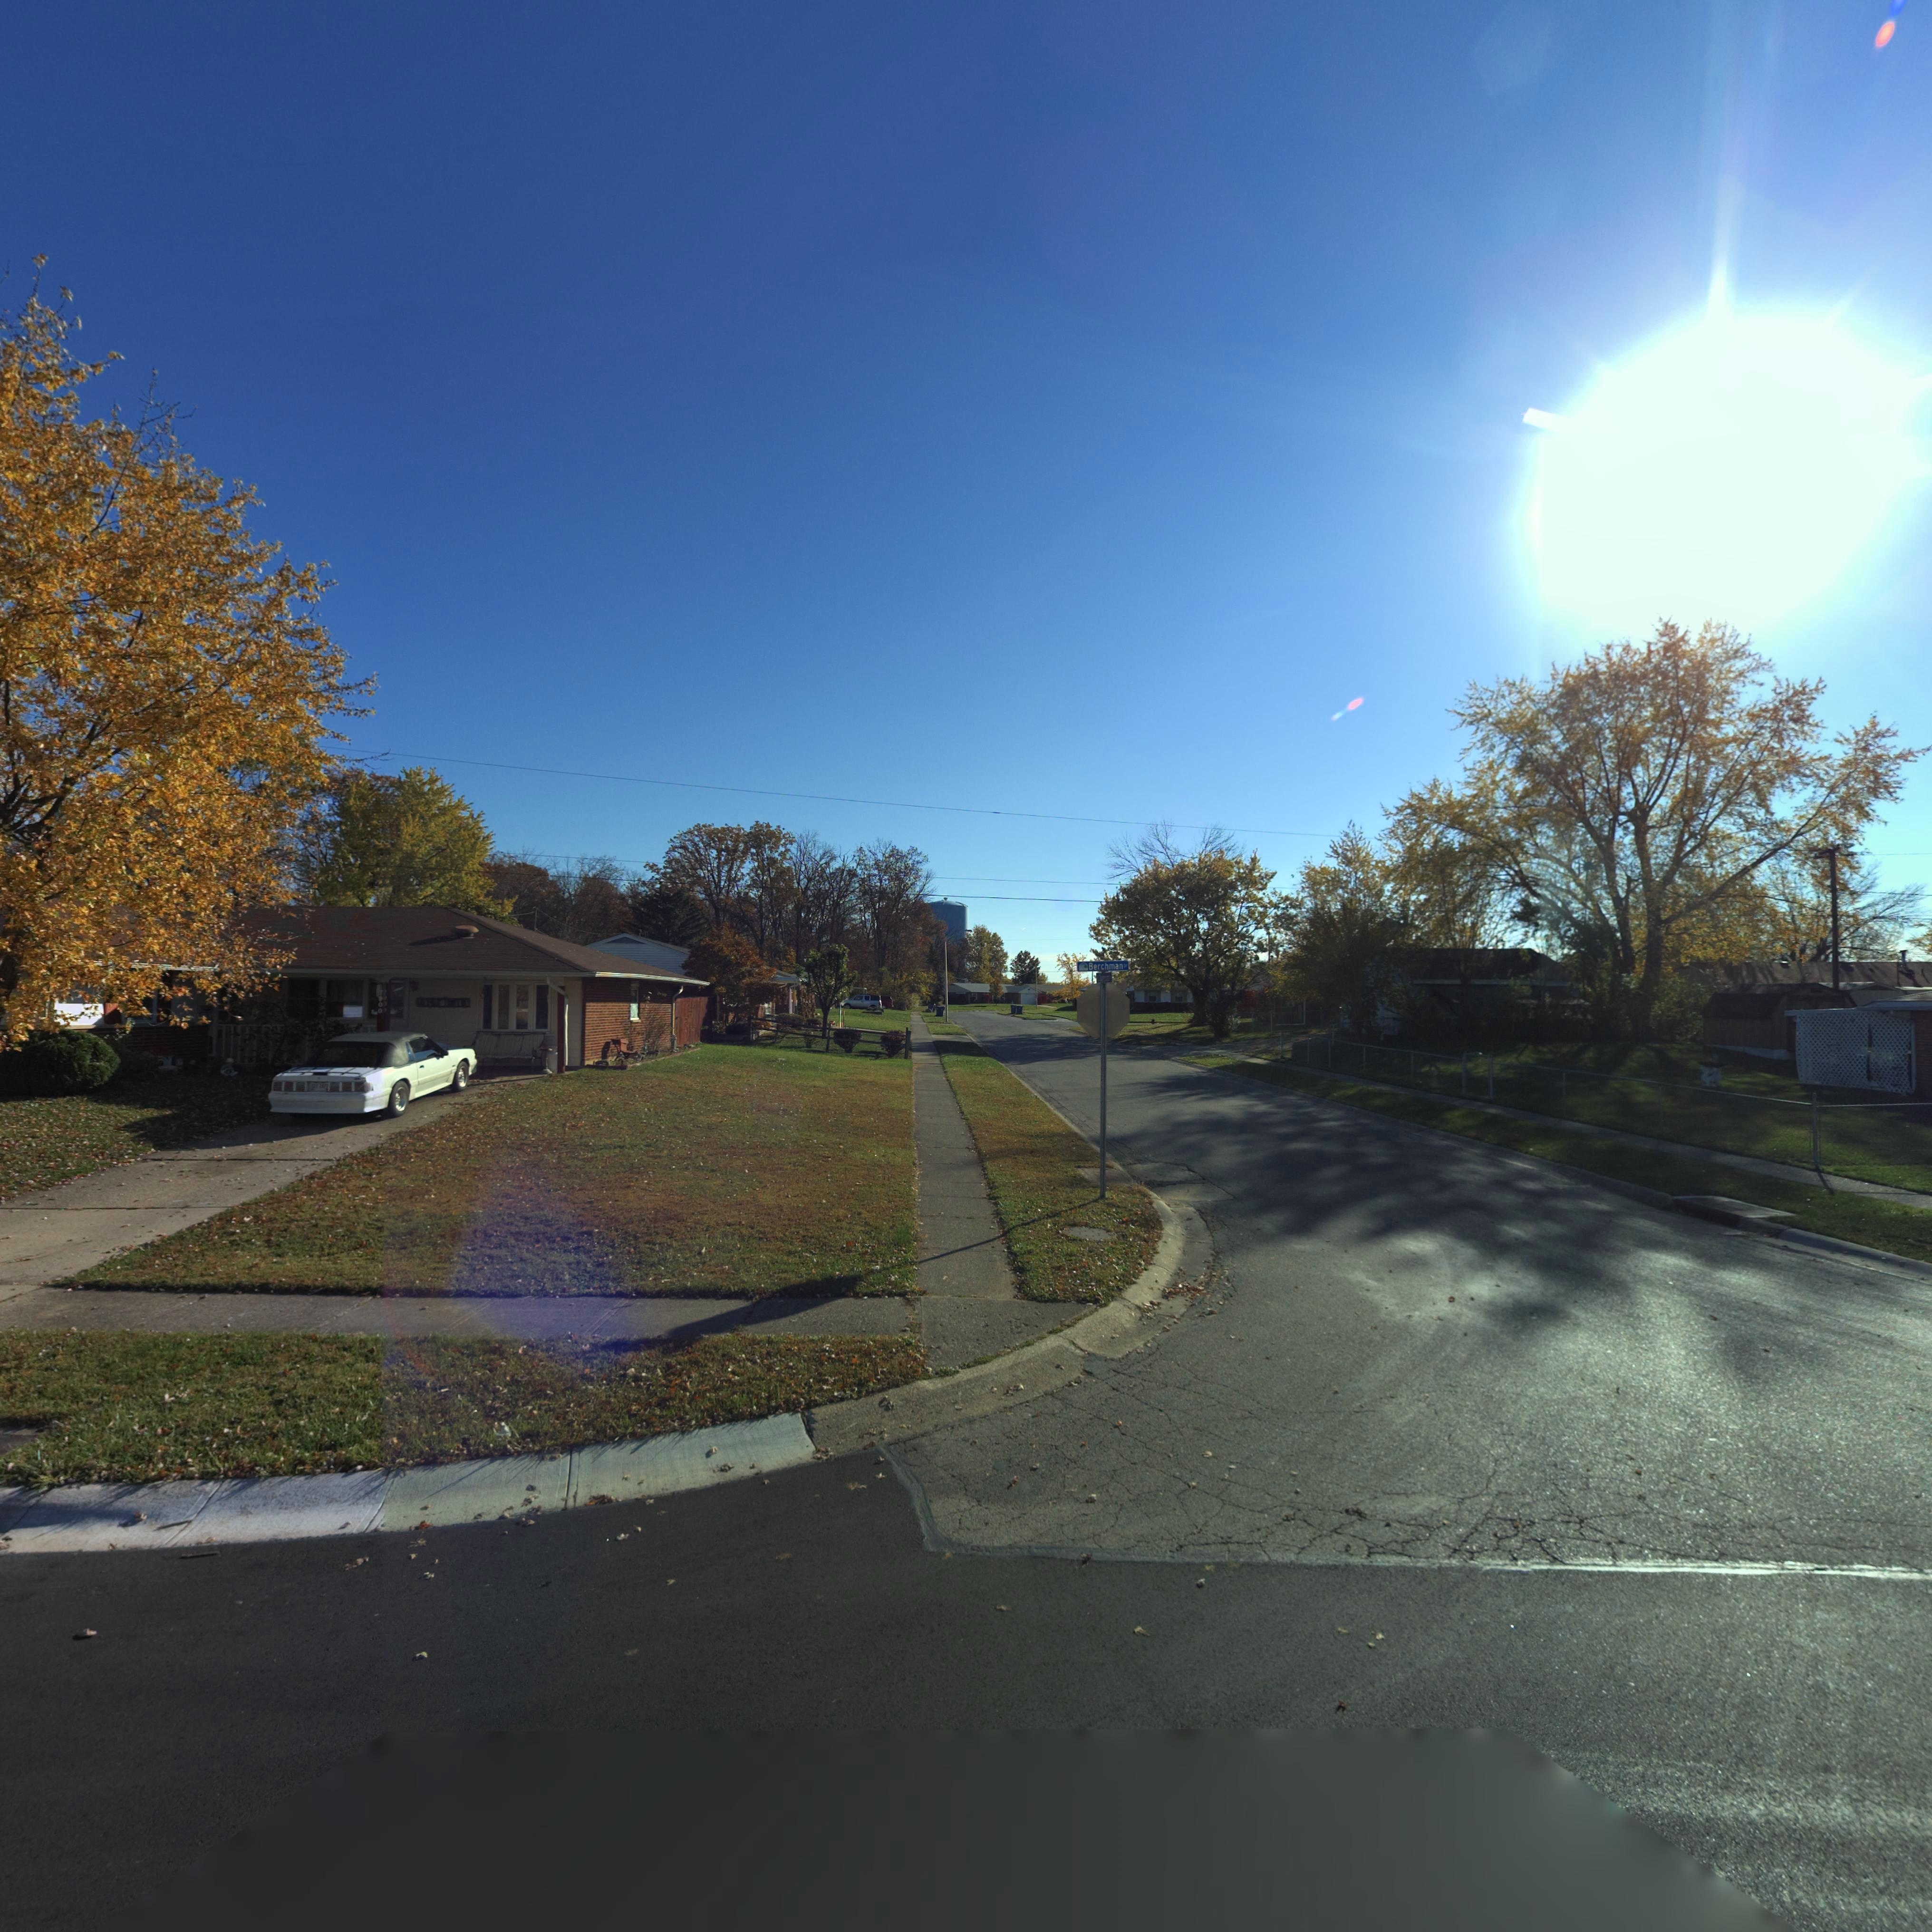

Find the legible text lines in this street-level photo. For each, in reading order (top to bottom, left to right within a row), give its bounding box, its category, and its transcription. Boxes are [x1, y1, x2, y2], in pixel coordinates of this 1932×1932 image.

[377, 995, 384, 1014] StreetNumber: *00